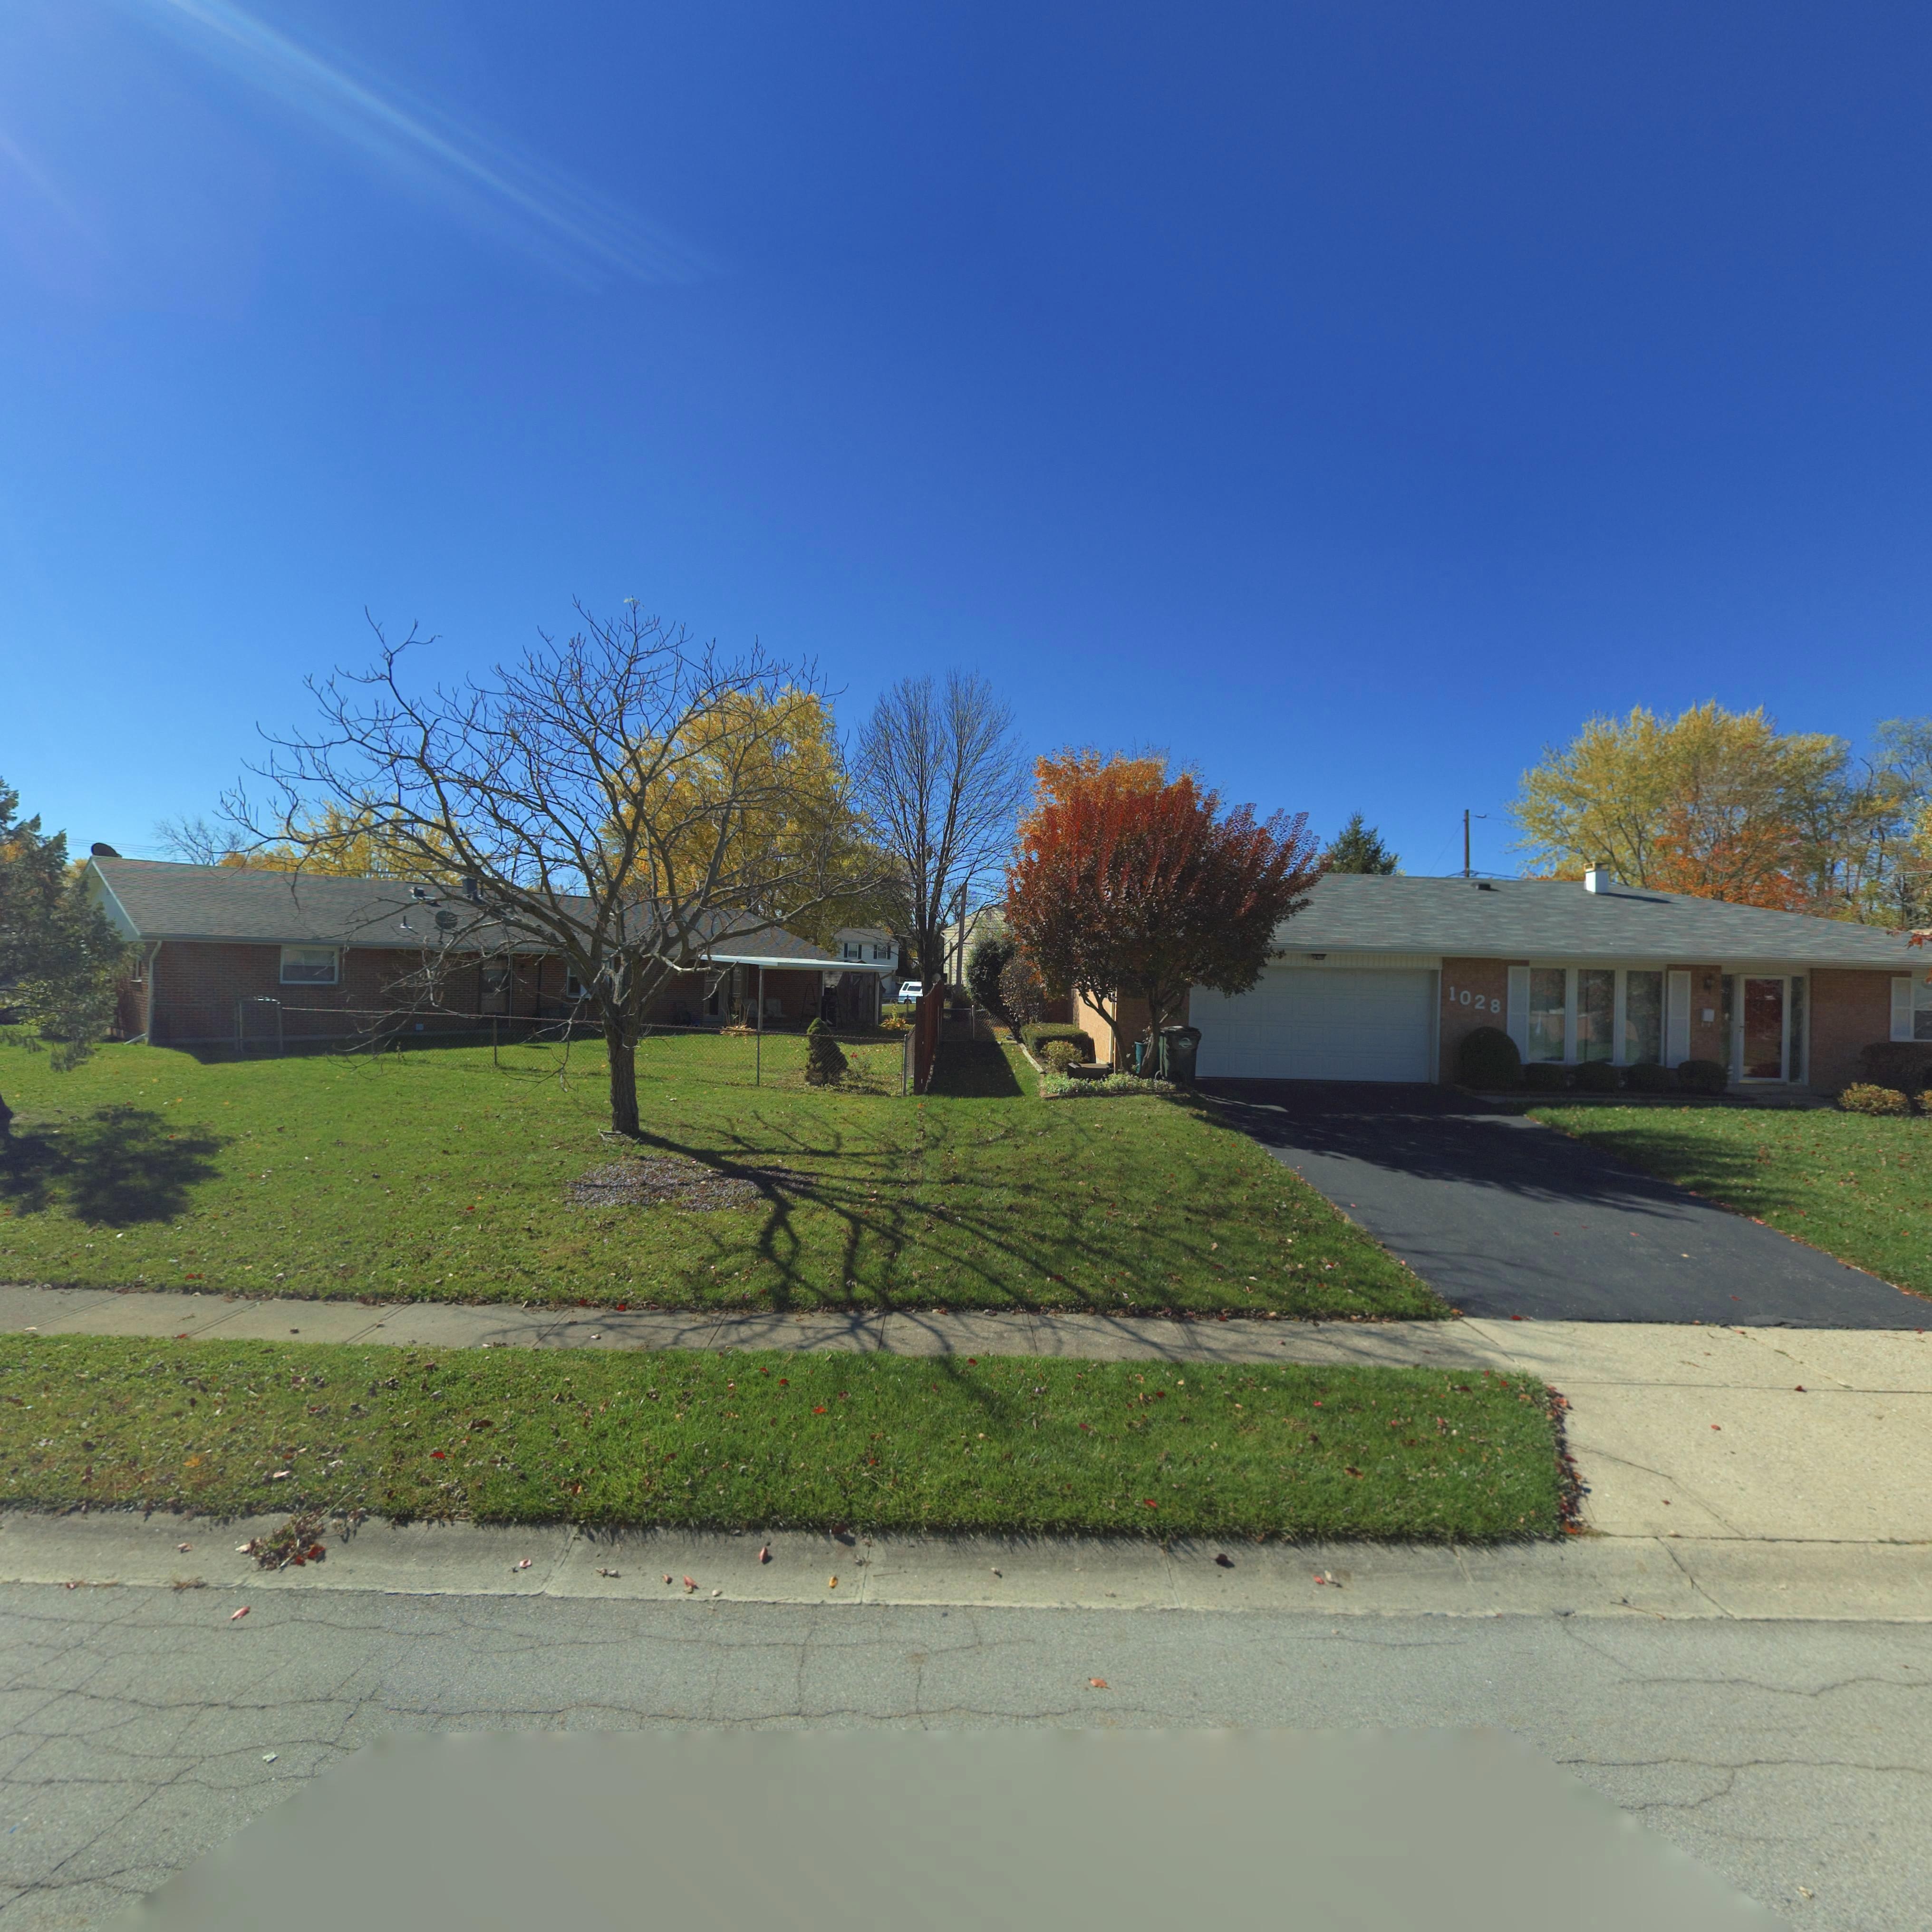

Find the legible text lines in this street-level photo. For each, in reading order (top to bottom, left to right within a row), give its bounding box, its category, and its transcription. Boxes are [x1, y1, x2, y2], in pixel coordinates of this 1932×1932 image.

[1448, 985, 1501, 1014] StreetNumber: 1028